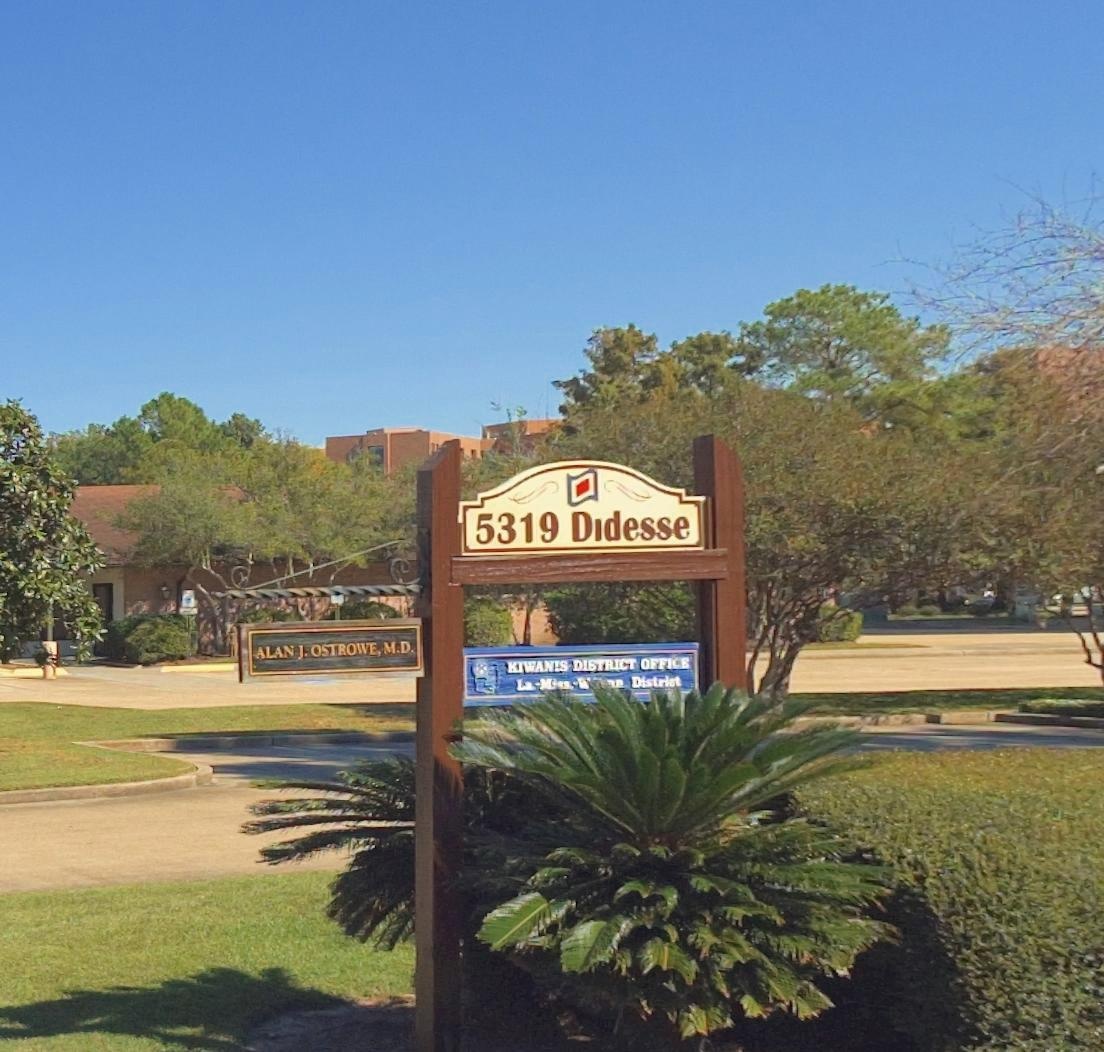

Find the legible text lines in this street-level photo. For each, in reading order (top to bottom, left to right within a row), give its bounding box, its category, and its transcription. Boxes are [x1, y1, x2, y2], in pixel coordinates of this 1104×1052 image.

[473, 508, 562, 548] StreetNumber: 5319
[568, 506, 693, 545] StreetName: Didesse
[251, 638, 417, 663] None: ALAN J. OSTROWE, M.D.
[505, 655, 691, 676] BusinessName: KIWANIS DISTRICT OFFICE
[513, 674, 594, 694] None: La-Mi*-W
[629, 673, 684, 691] None: District